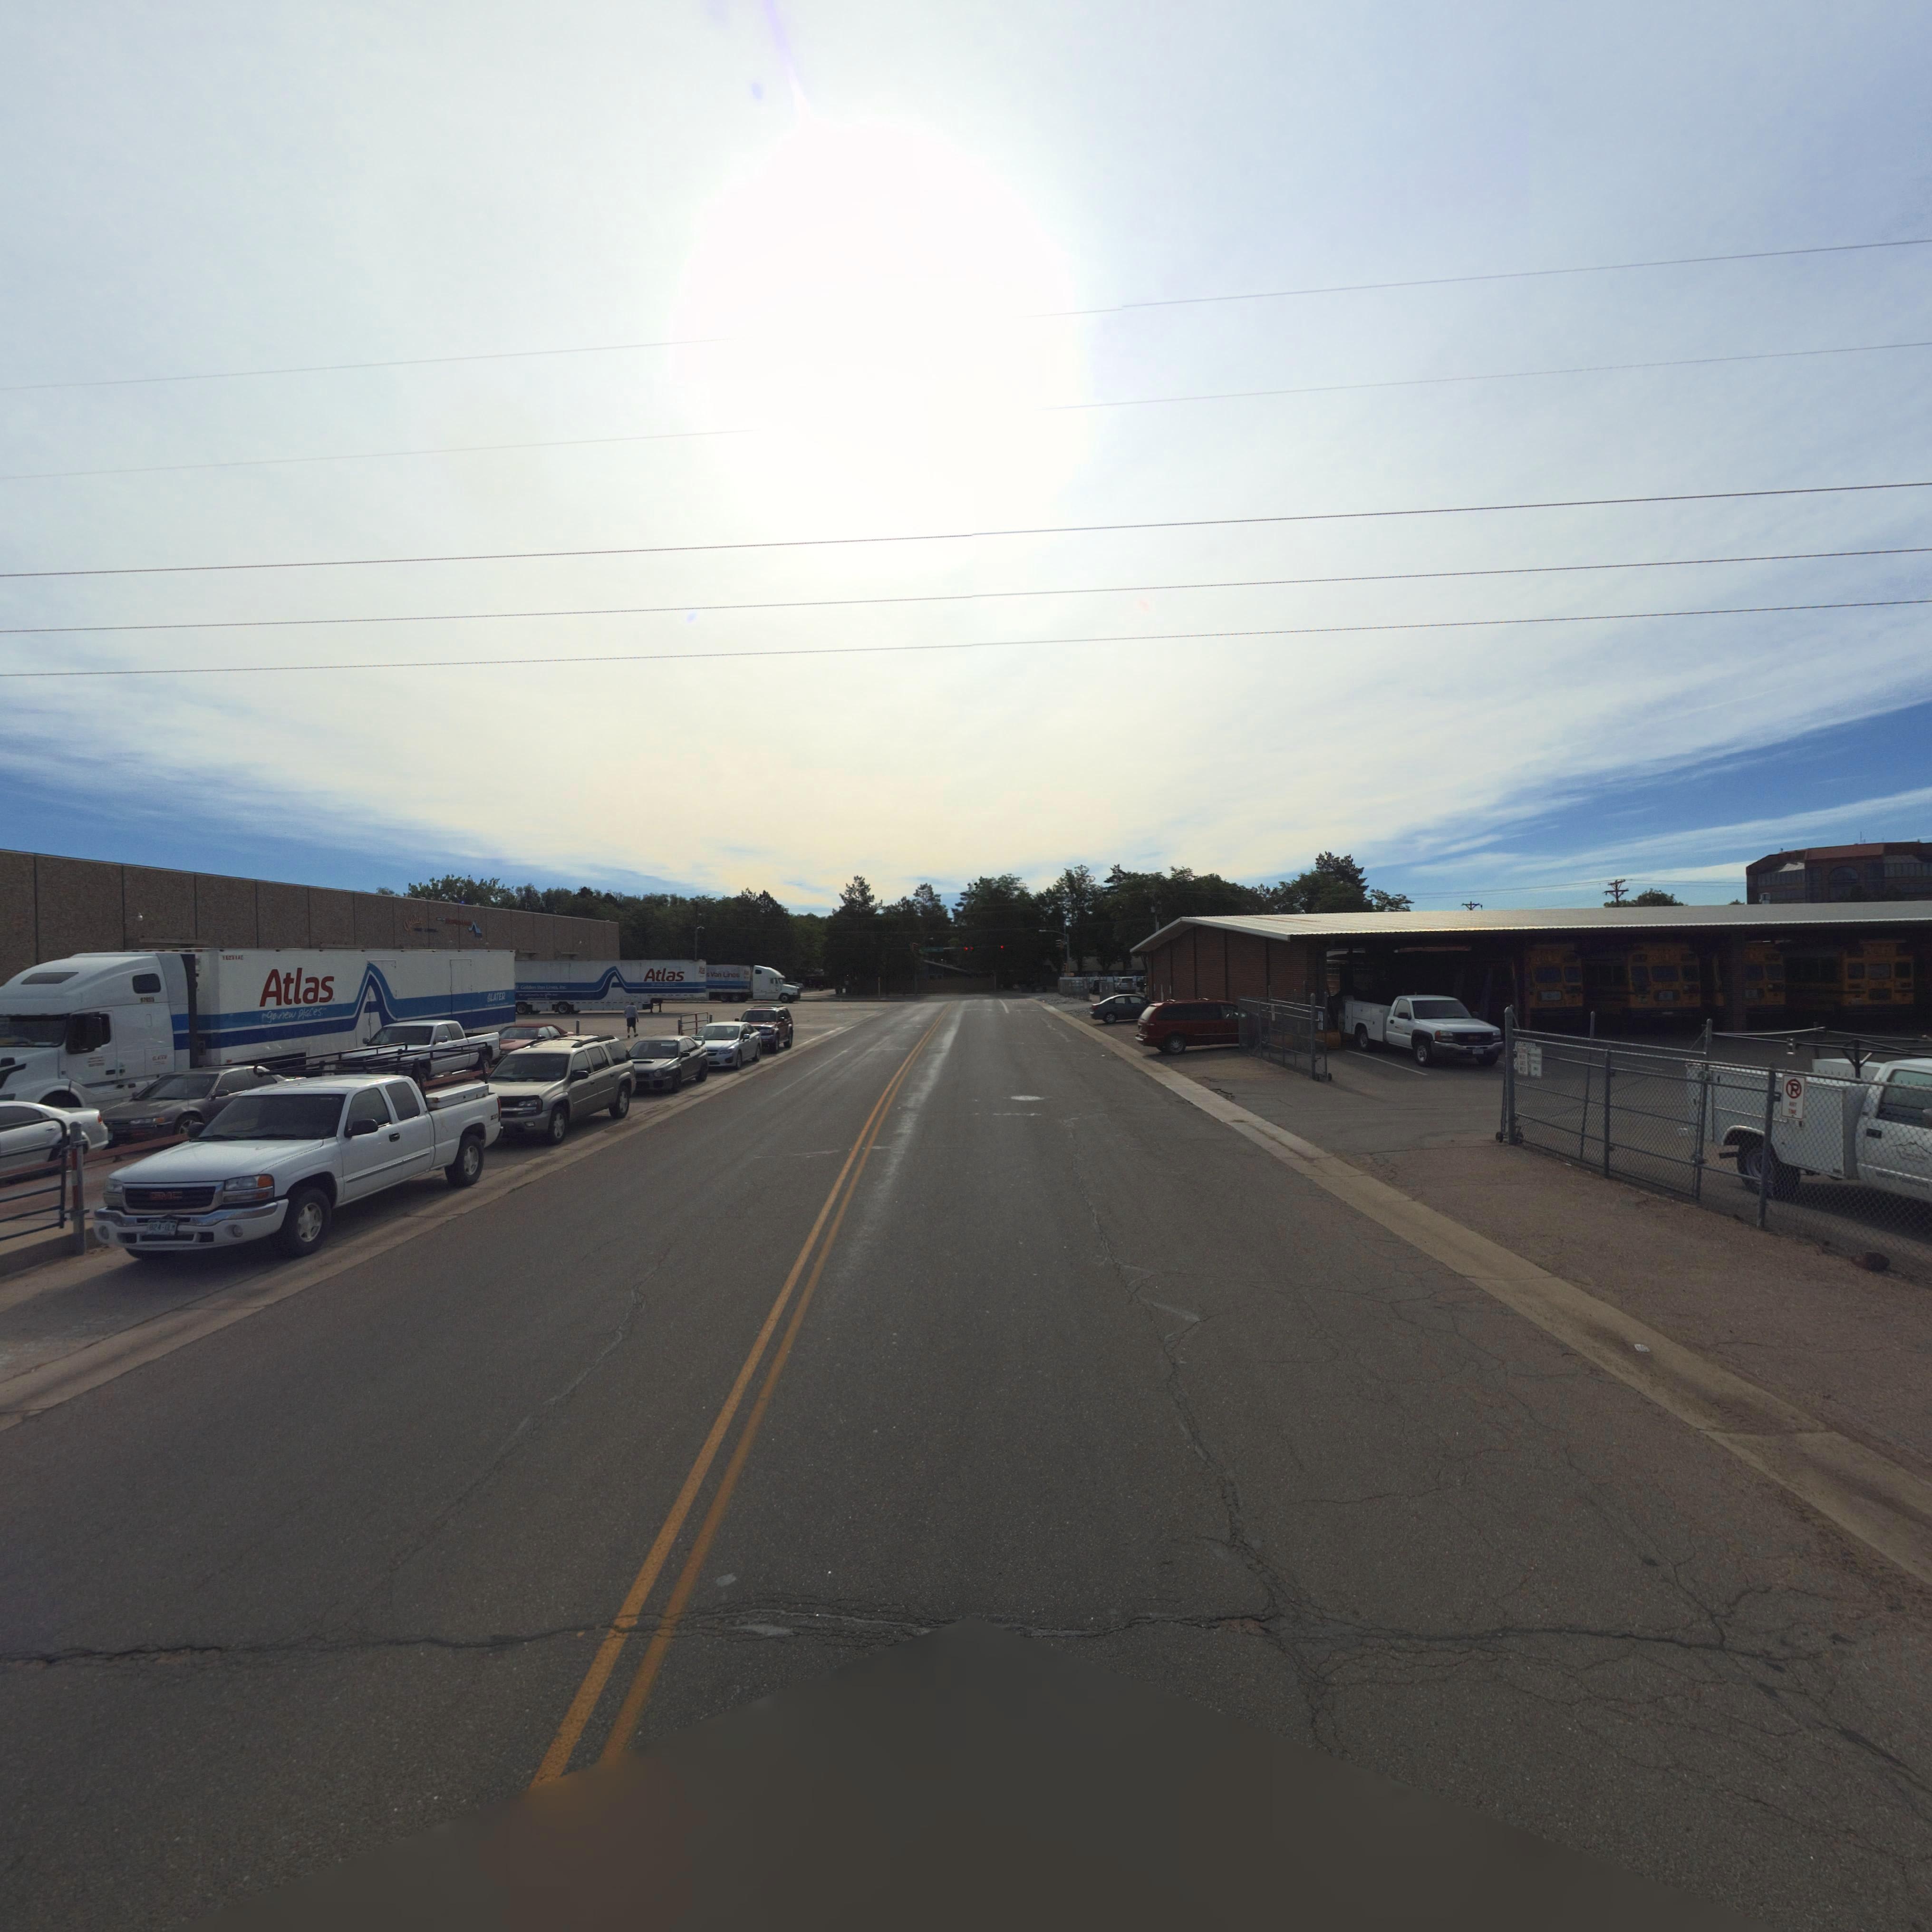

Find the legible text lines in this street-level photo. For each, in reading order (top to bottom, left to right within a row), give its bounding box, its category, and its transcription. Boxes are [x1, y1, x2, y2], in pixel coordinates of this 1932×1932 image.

[402, 914, 423, 936] BusinessName: gold**